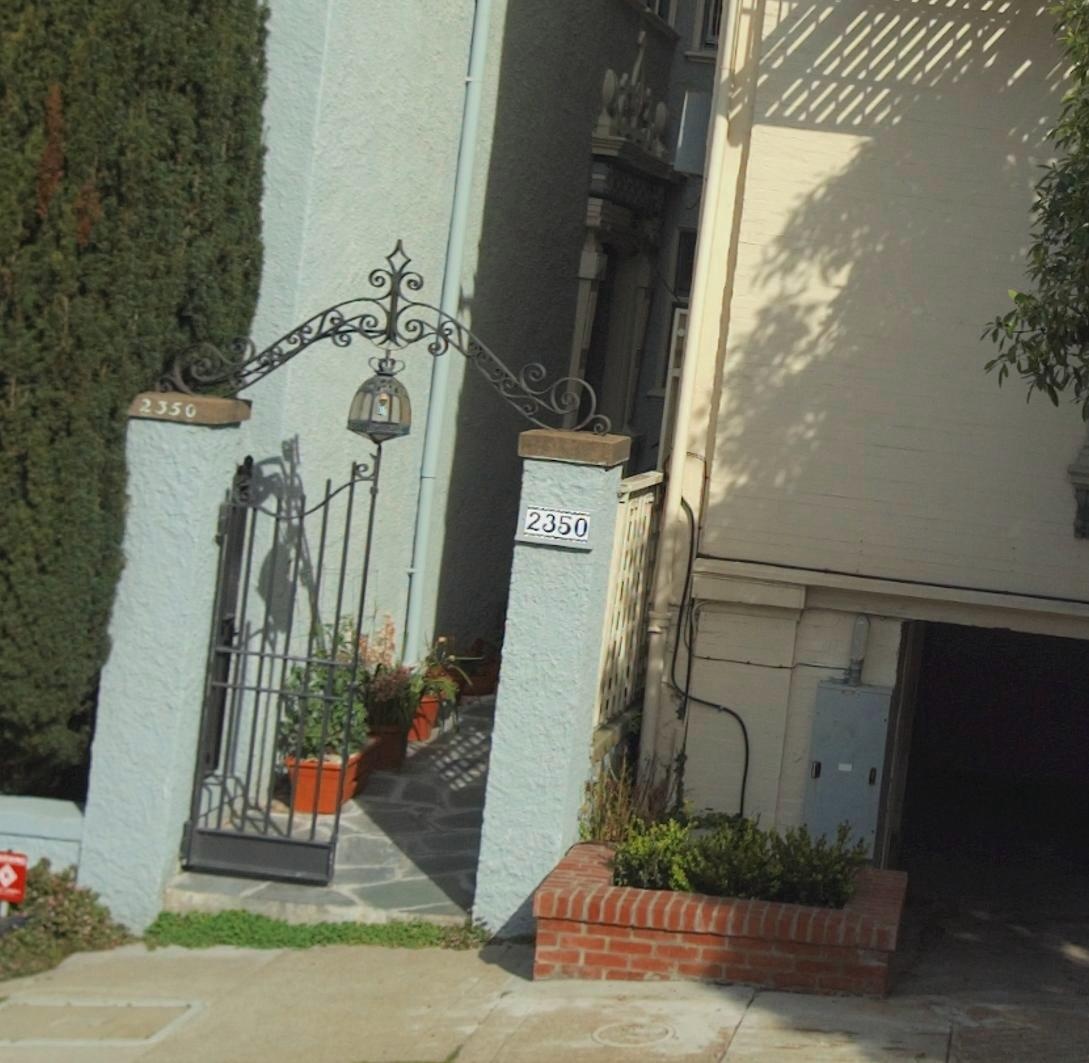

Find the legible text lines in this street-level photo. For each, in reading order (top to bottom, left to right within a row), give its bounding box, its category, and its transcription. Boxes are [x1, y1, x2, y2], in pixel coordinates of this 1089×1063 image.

[135, 395, 200, 421] StreetNumber: 2350
[522, 509, 590, 540] StreetNumber: 2350